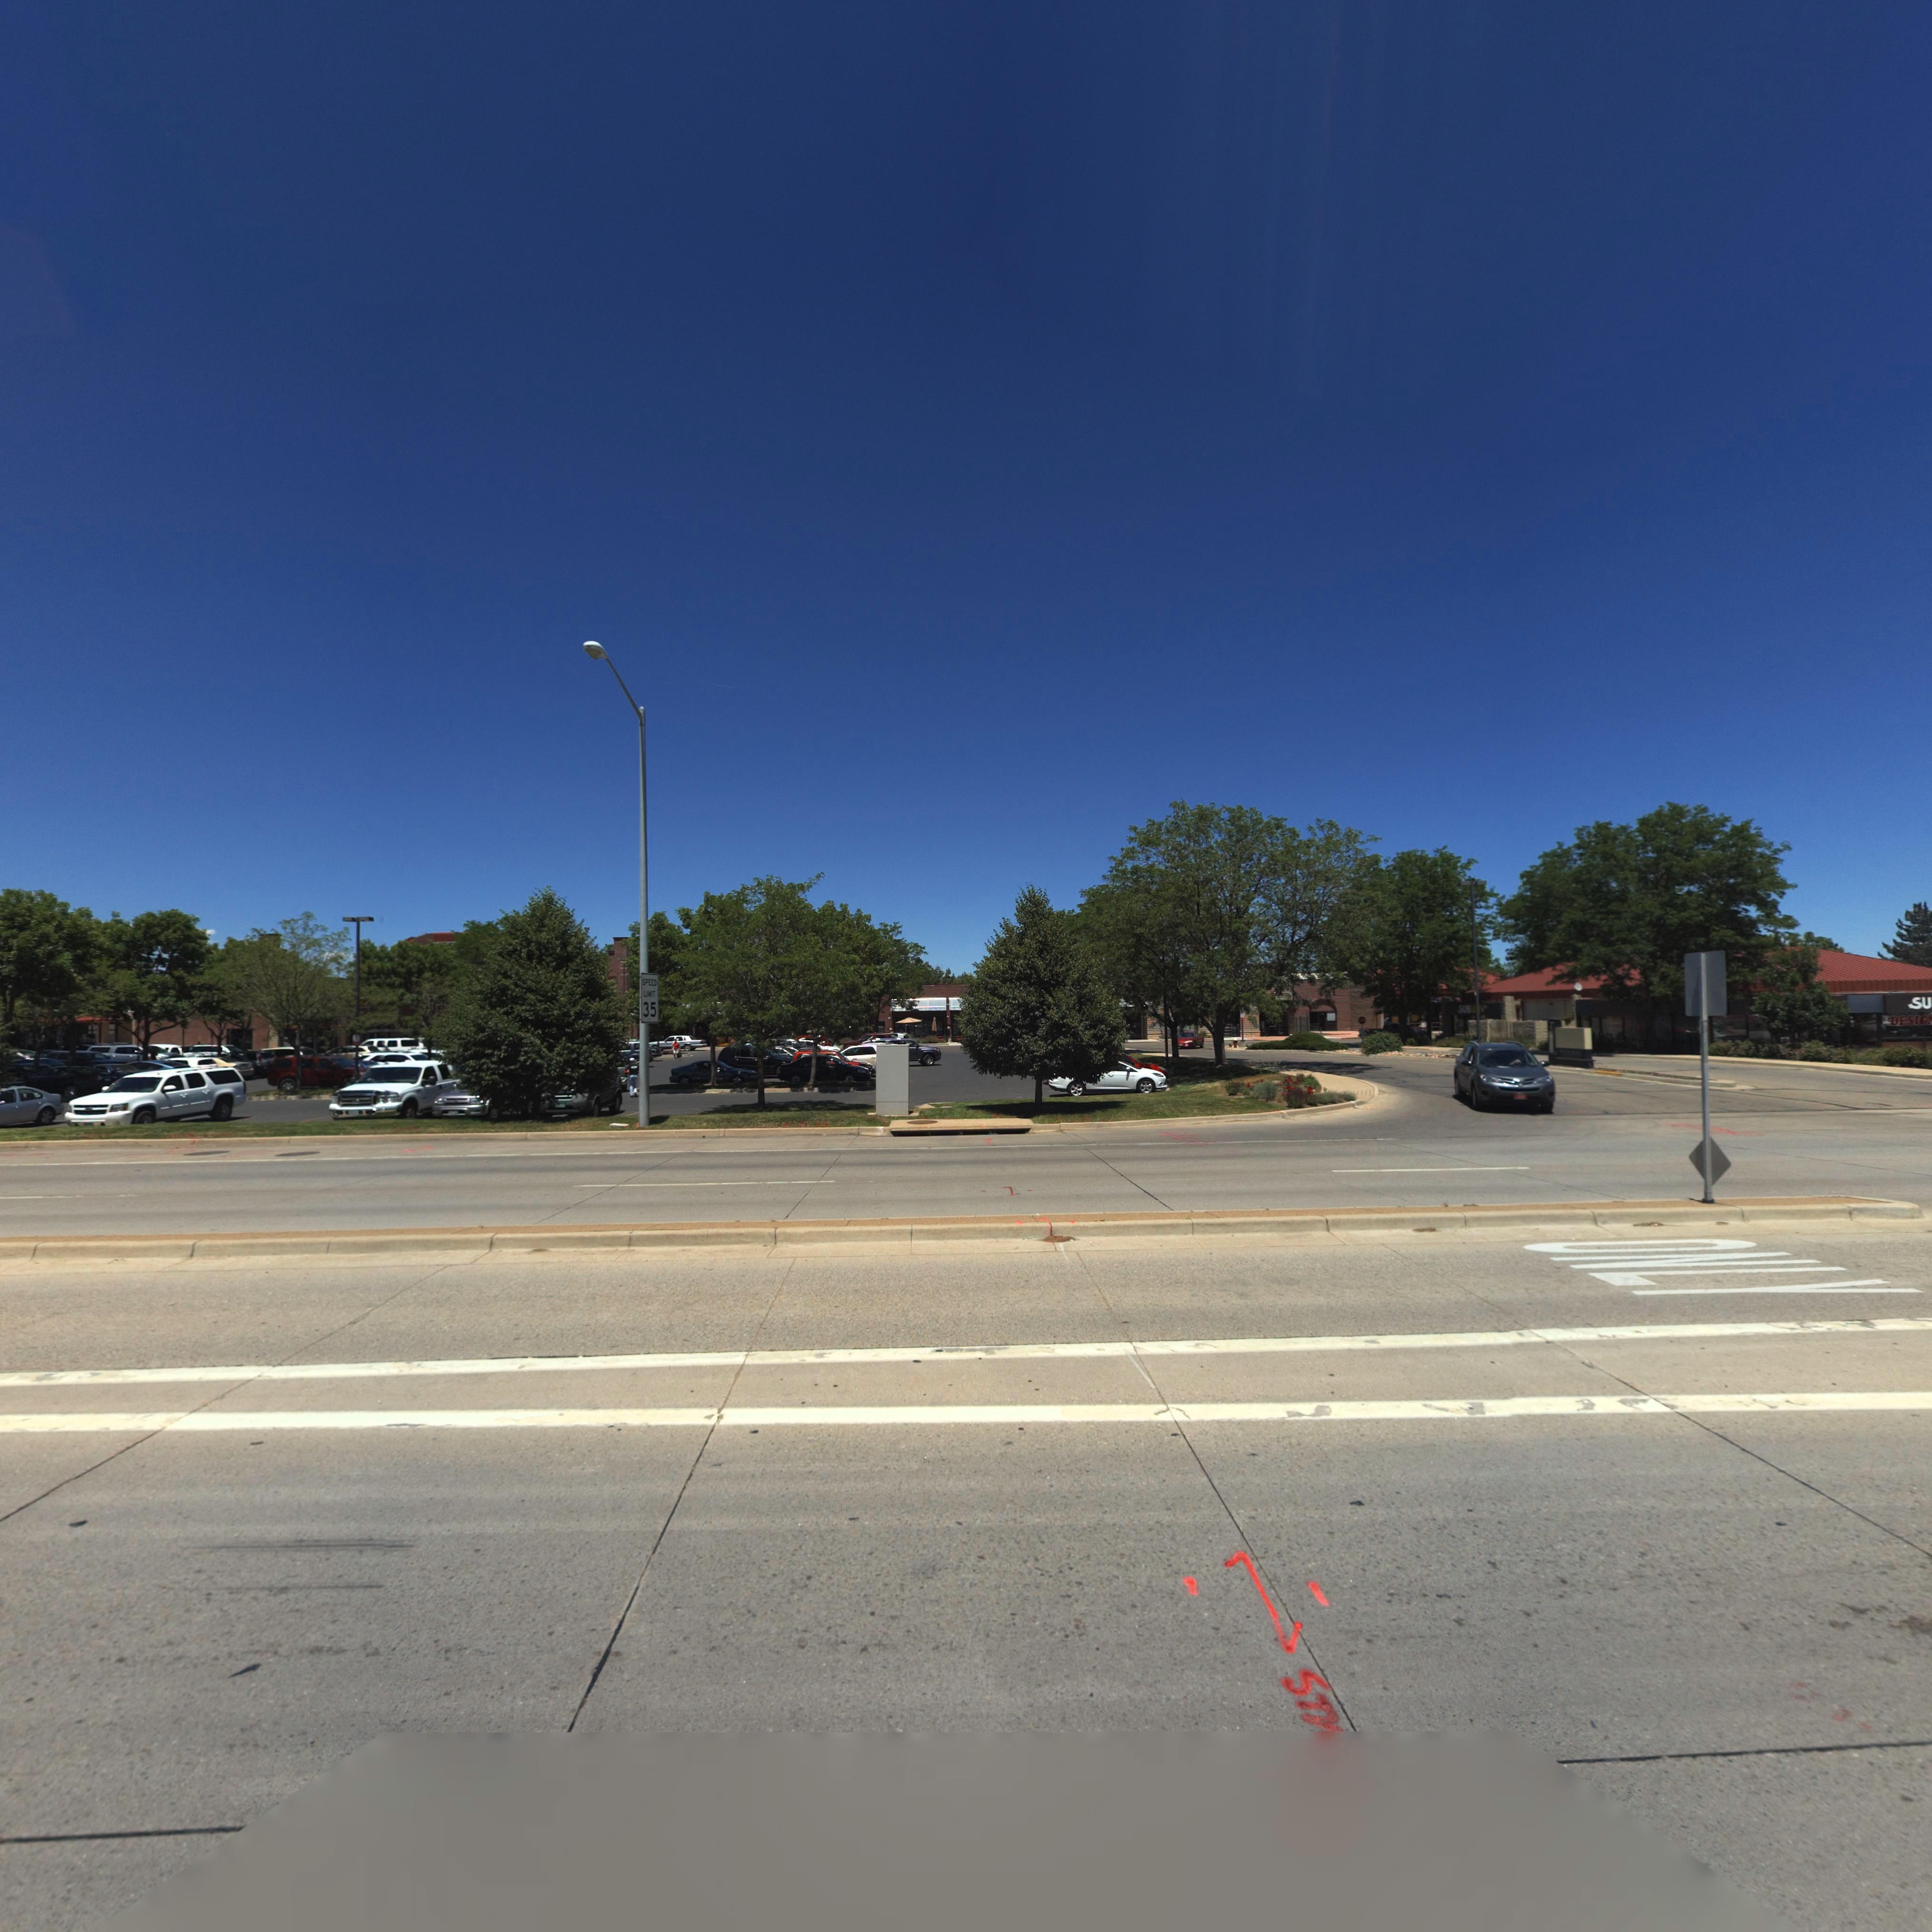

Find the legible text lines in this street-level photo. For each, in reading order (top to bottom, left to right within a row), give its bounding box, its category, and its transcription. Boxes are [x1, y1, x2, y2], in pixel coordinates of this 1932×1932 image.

[1907, 996, 1931, 1010] BusinessName: SU
[1456, 1004, 1488, 1014] BusinessName: SUBW*Y
[1891, 1014, 1928, 1025] BusinessName: DESIG